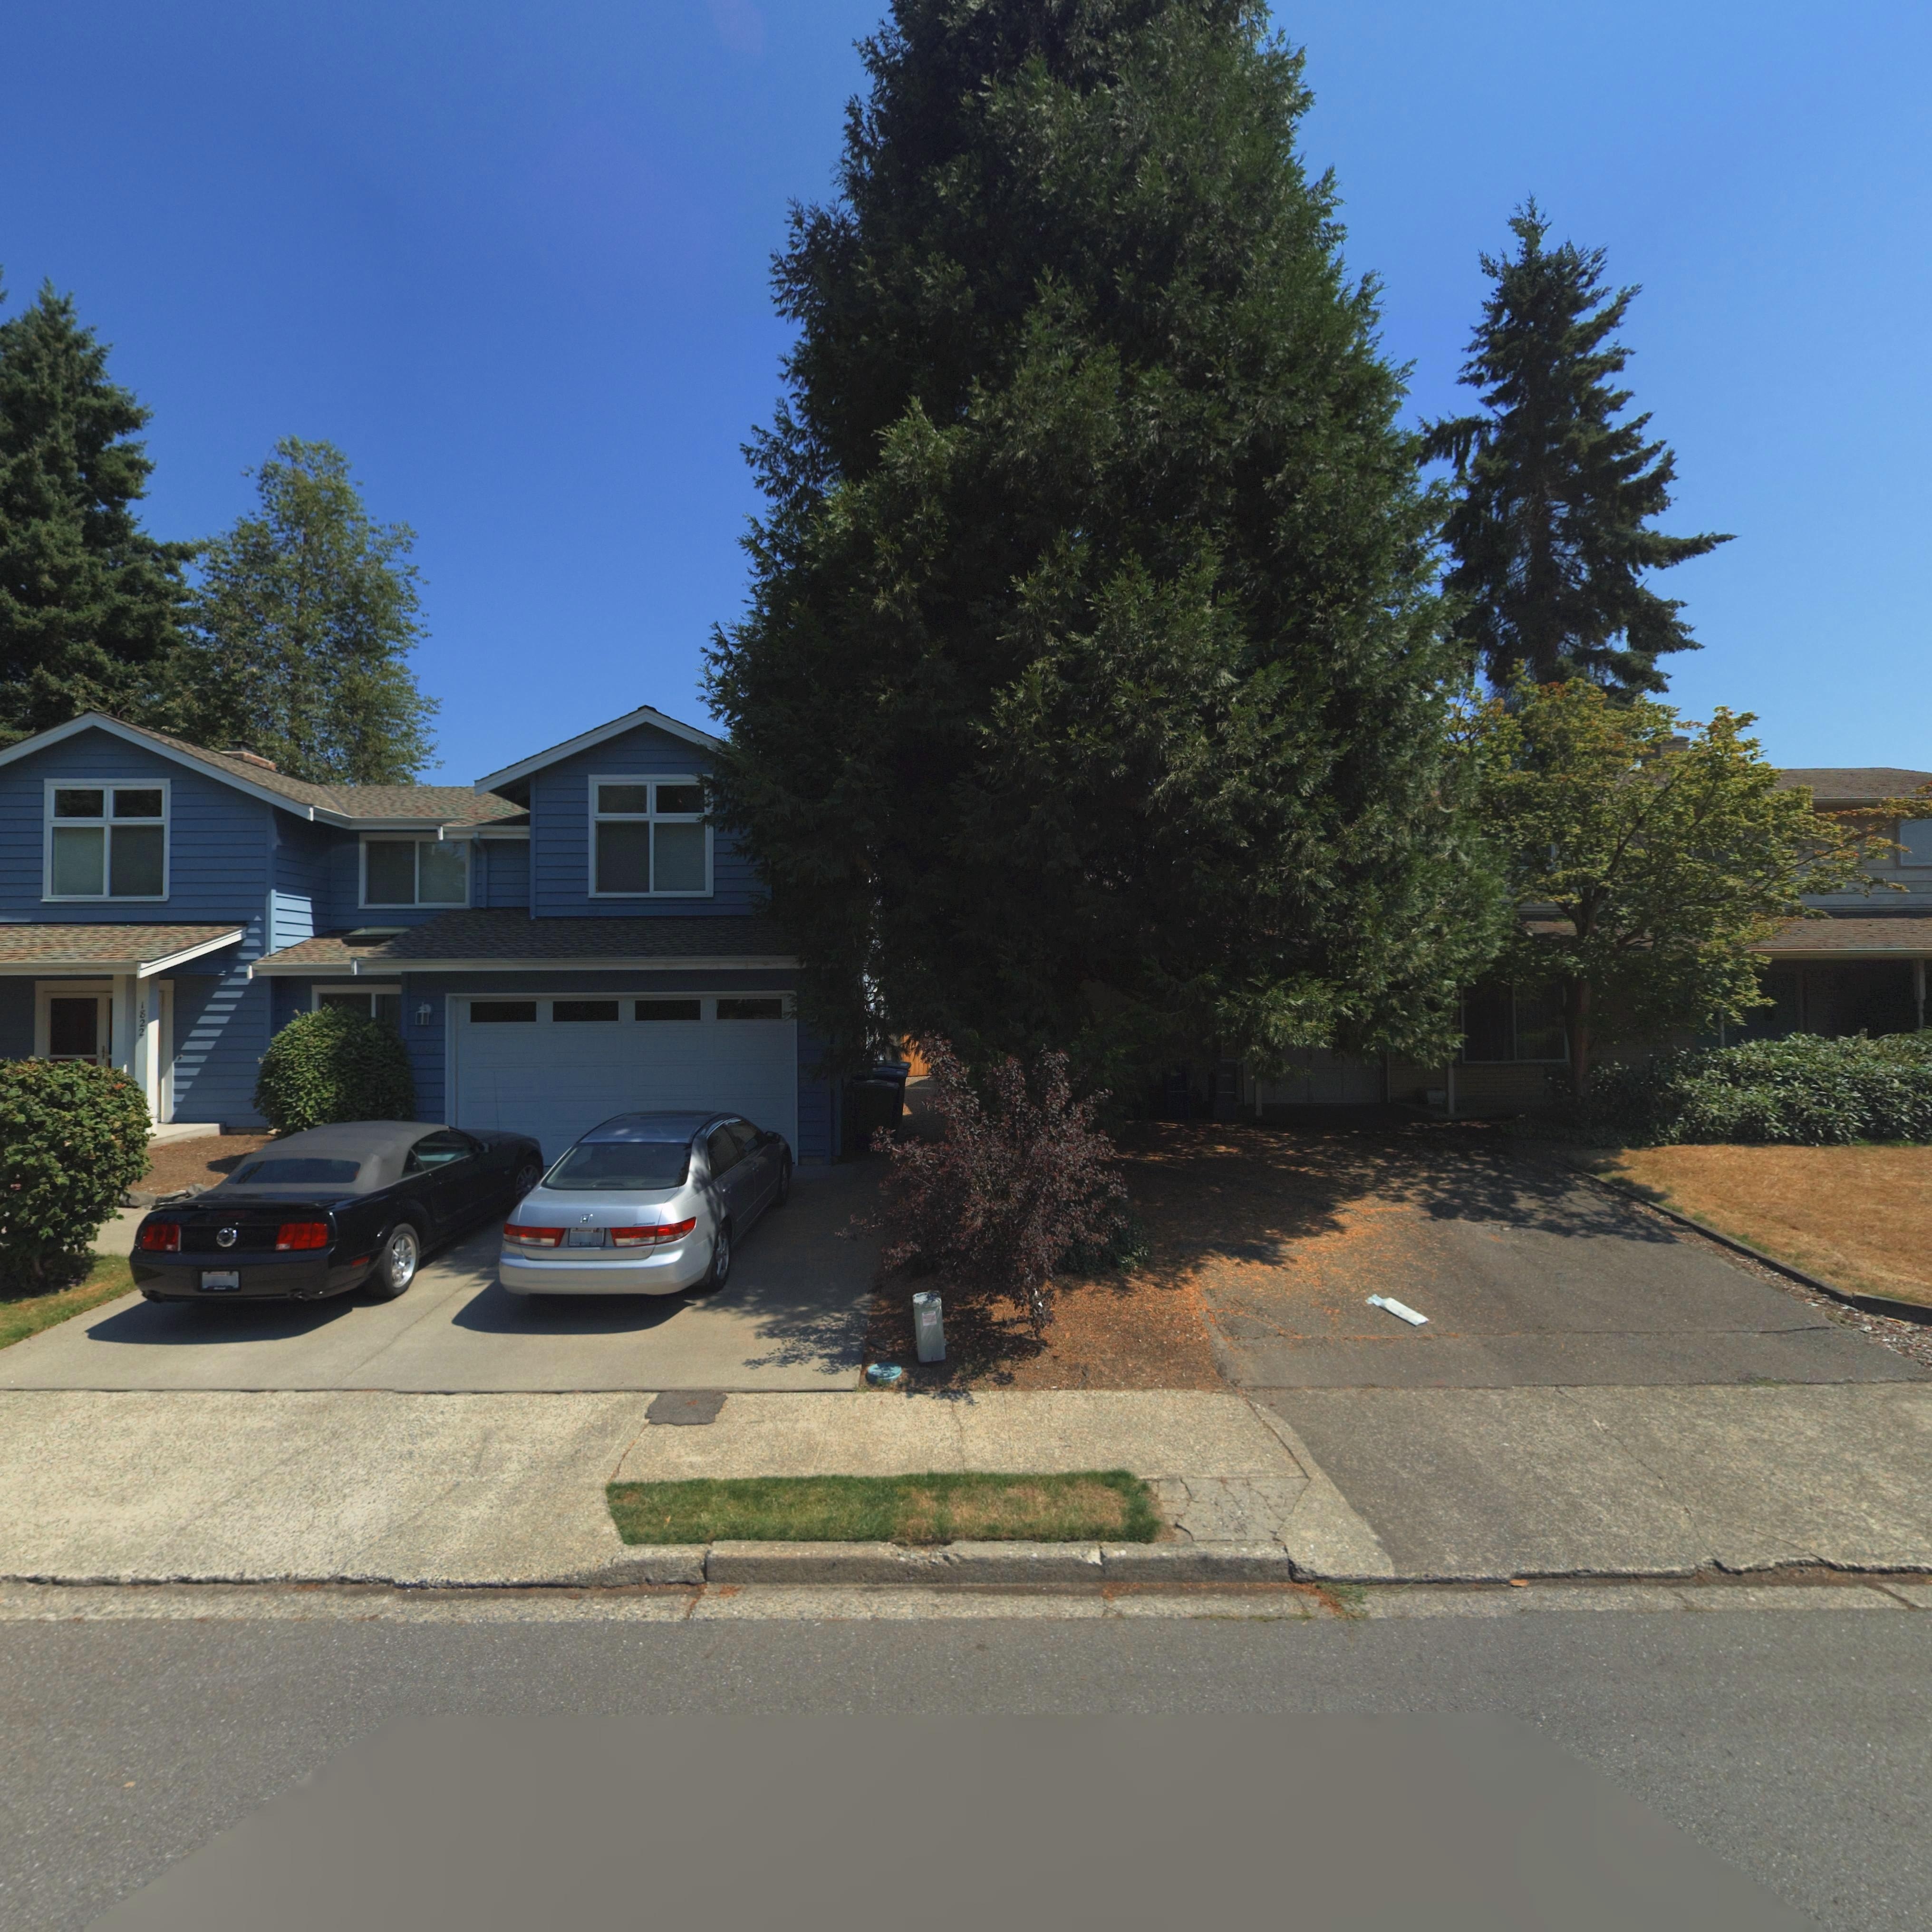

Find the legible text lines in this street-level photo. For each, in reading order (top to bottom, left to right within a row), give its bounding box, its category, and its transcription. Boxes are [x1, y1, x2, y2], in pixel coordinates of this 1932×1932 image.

[138, 999, 145, 1036] StreetNumber: 1822